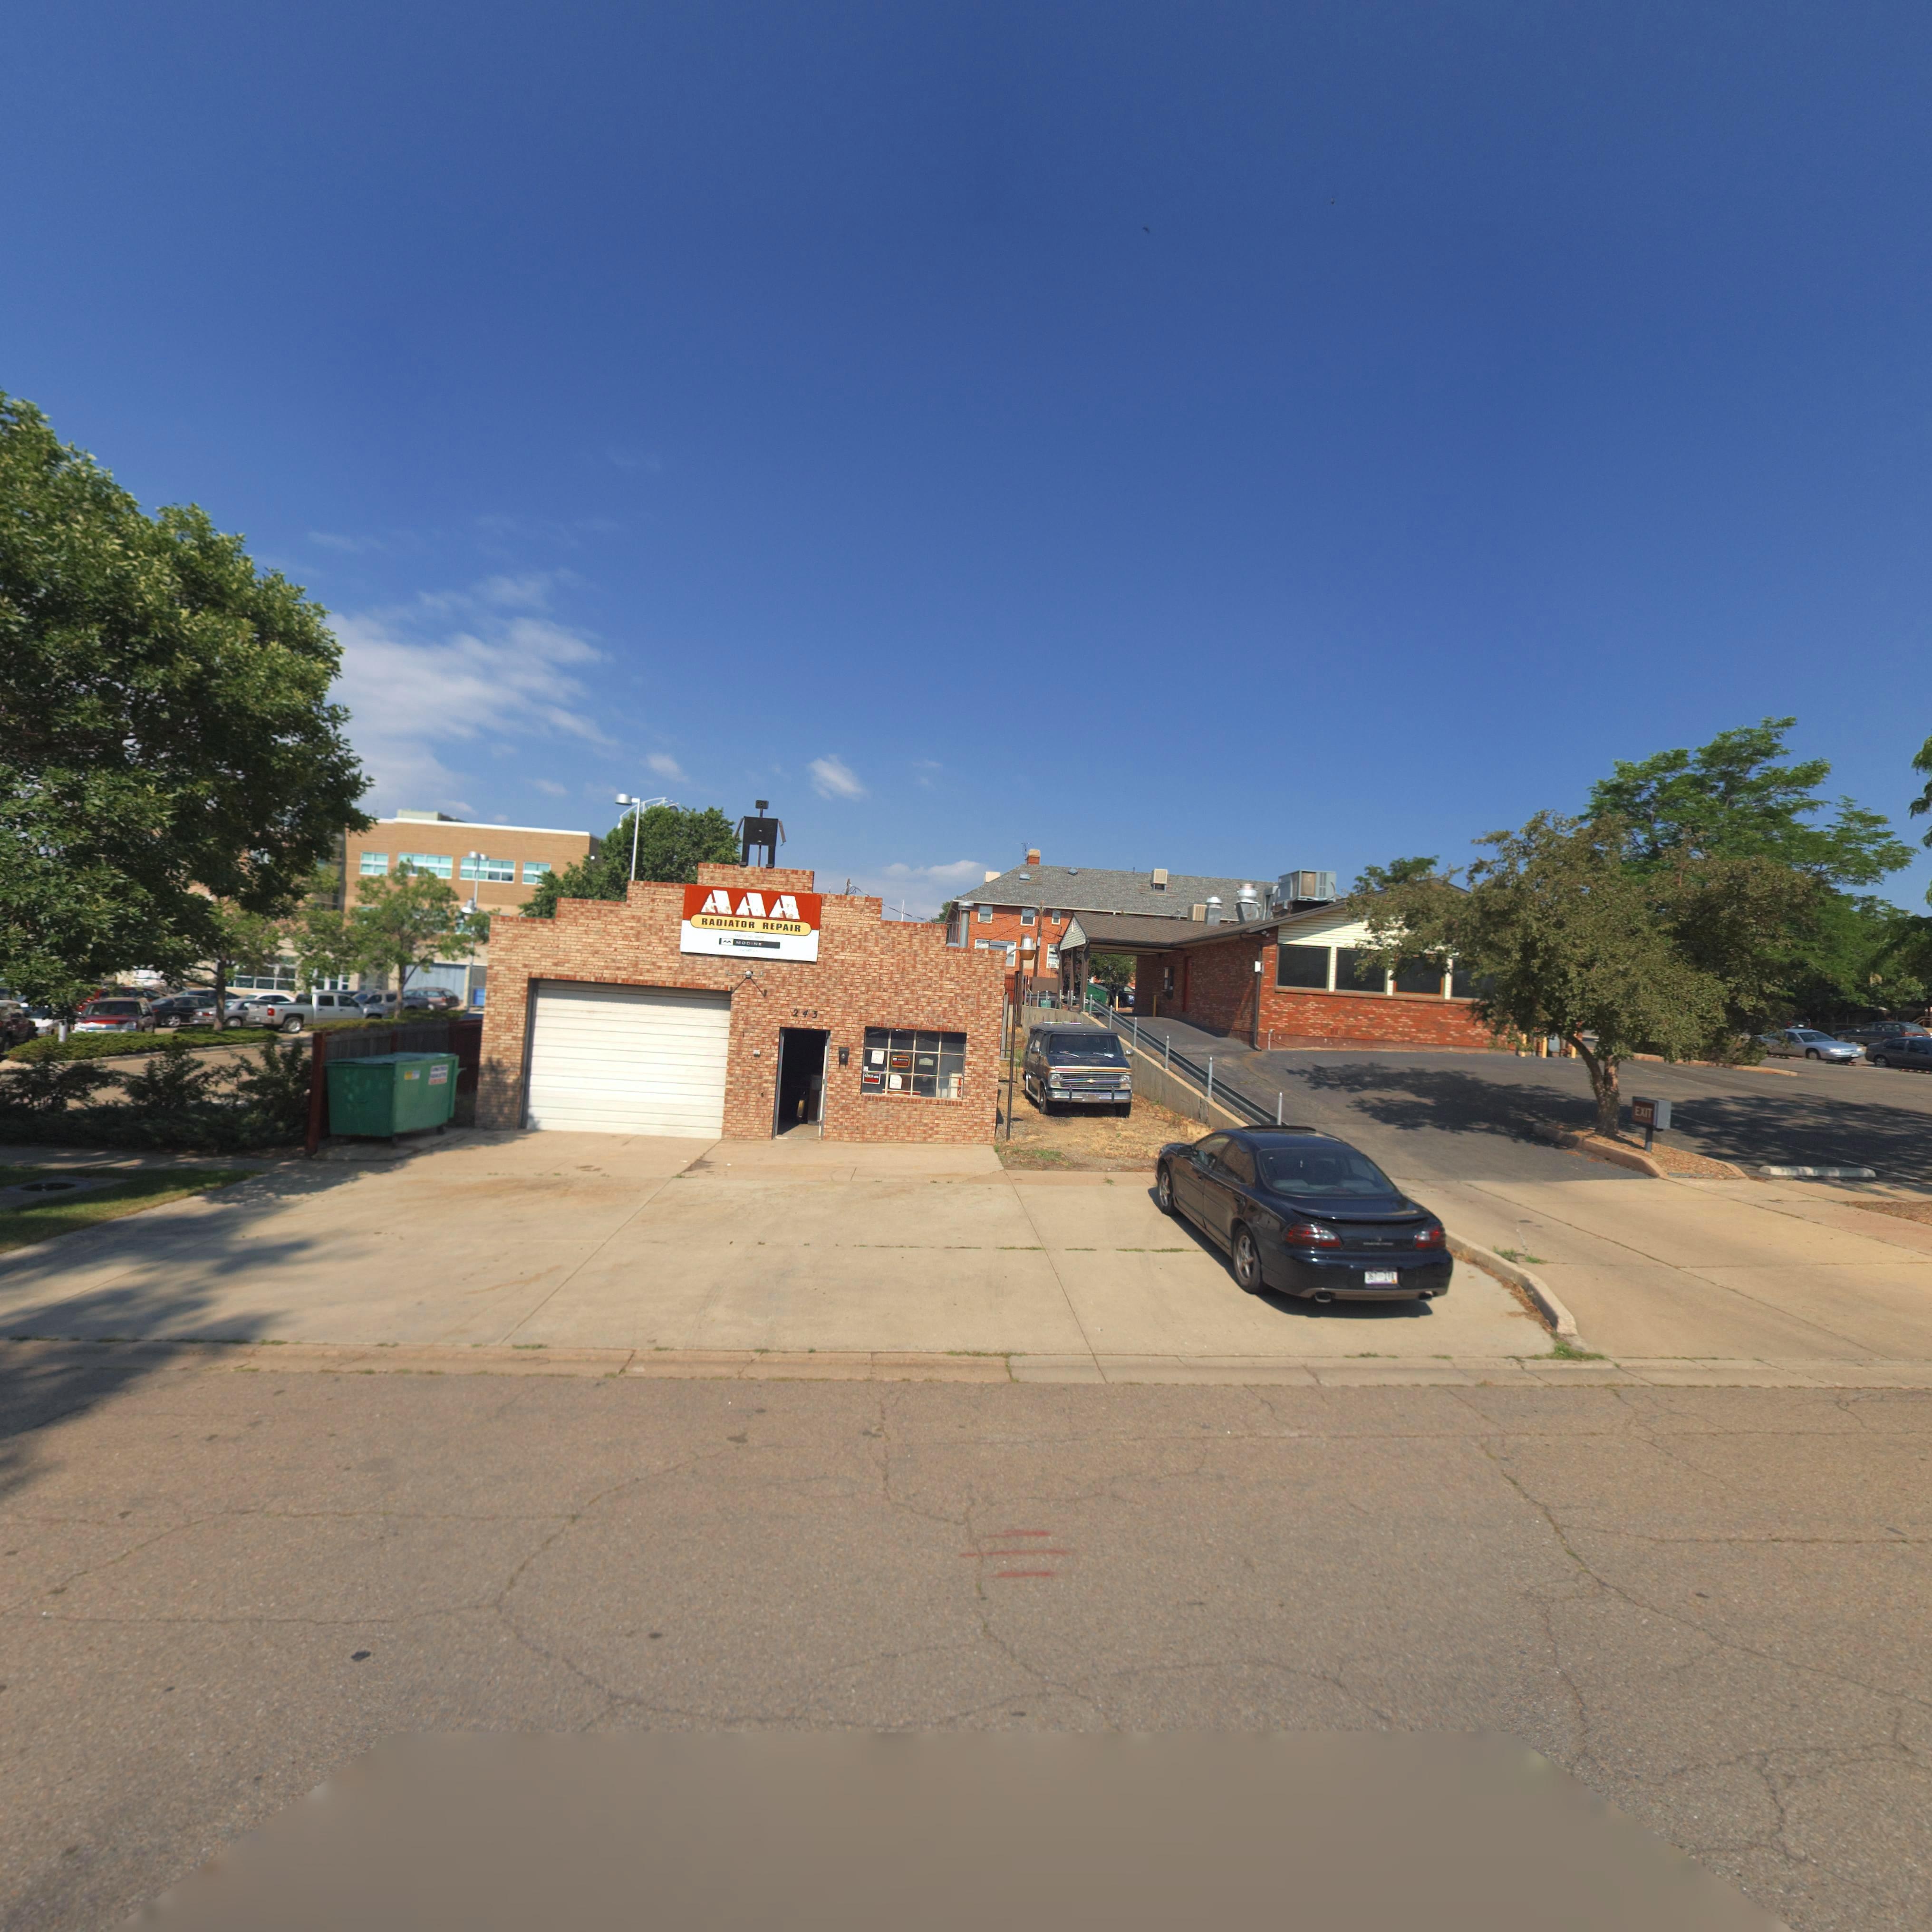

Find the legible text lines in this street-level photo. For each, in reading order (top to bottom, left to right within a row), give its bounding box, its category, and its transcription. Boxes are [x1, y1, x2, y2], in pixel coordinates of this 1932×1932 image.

[700, 889, 800, 920] BusinessName: AAA
[701, 918, 801, 932] BusinessName: RADIATOR REPAIR
[792, 1009, 818, 1019] StreetNumber: 243